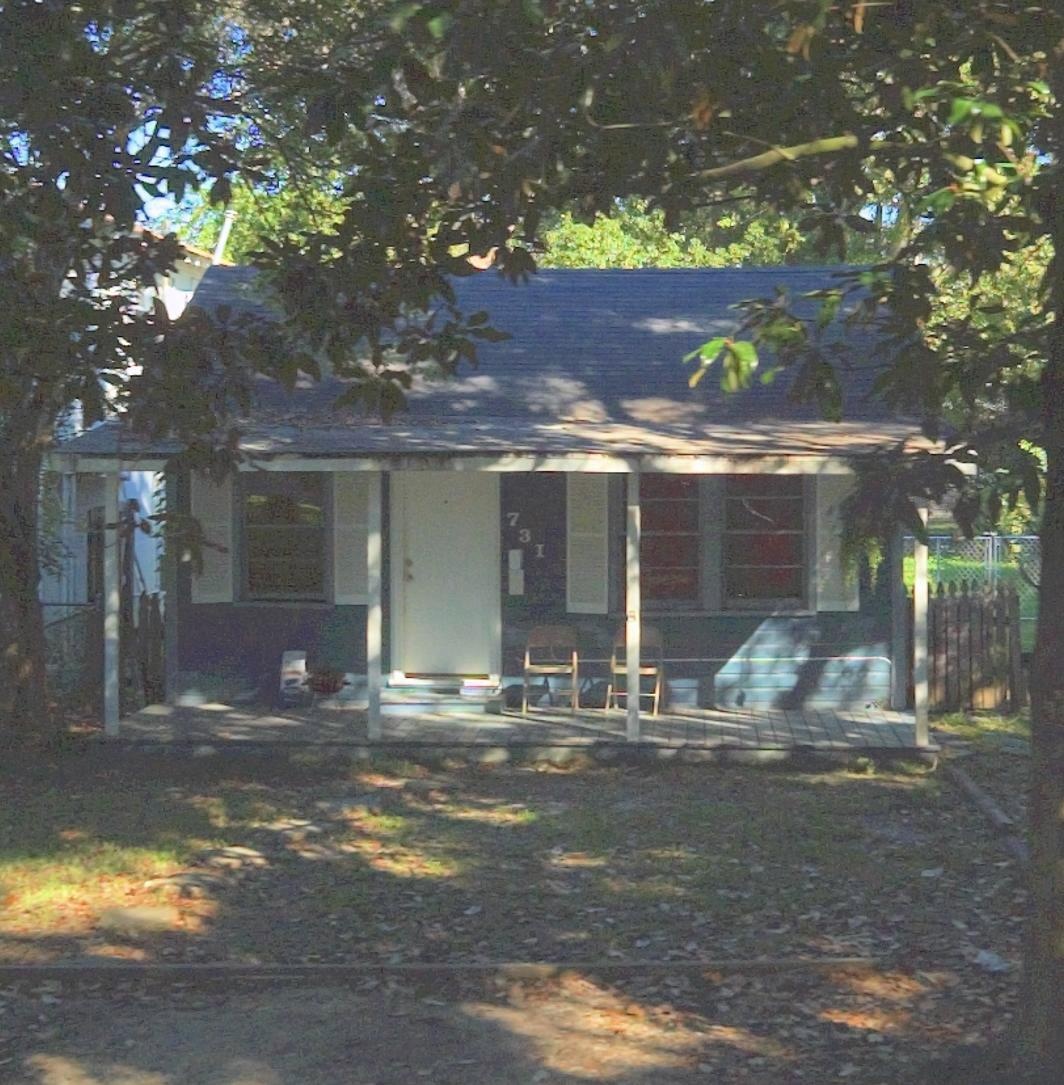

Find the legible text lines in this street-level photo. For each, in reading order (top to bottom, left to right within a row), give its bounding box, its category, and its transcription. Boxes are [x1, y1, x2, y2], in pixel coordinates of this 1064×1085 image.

[504, 508, 550, 564] StreetNumber: 731